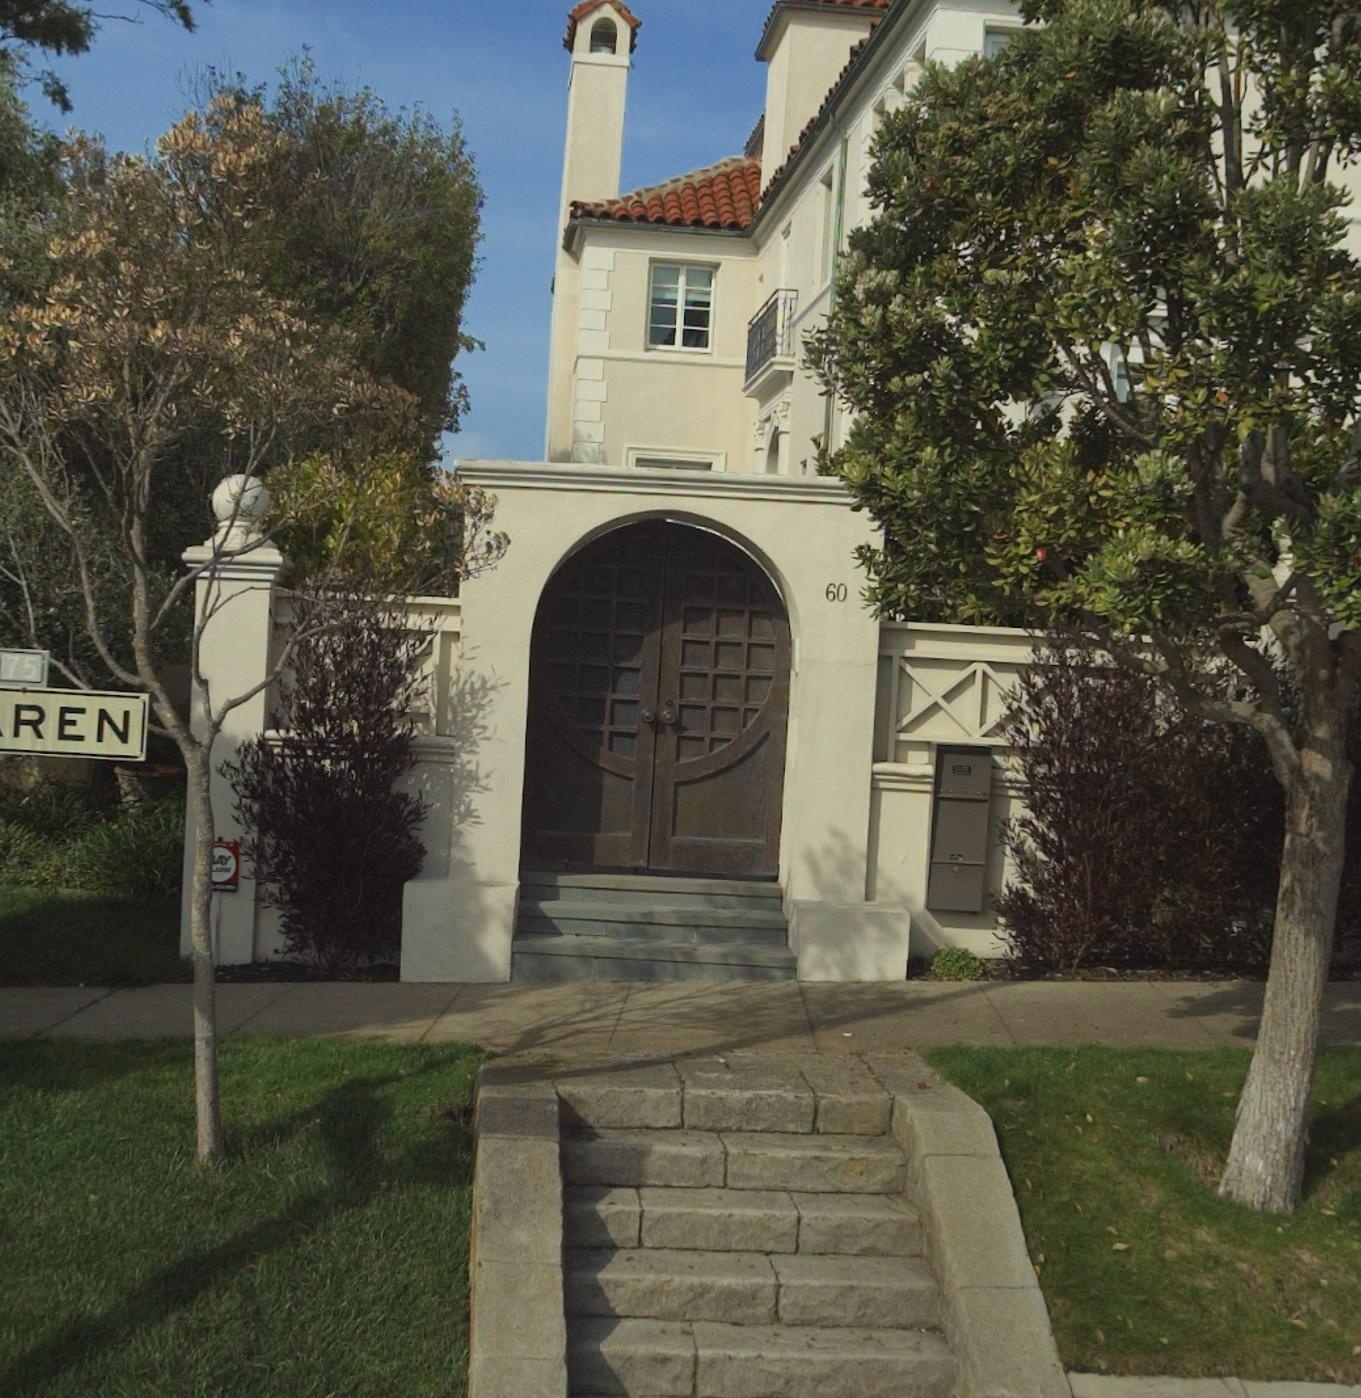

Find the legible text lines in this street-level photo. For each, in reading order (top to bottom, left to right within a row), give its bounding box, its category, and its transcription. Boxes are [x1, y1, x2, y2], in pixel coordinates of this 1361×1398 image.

[823, 580, 850, 604] StreetNumber: 60
[3, 653, 41, 682] StreetNumber: 75
[8, 698, 137, 749] StreetName: REN
[211, 853, 235, 868] None: AY